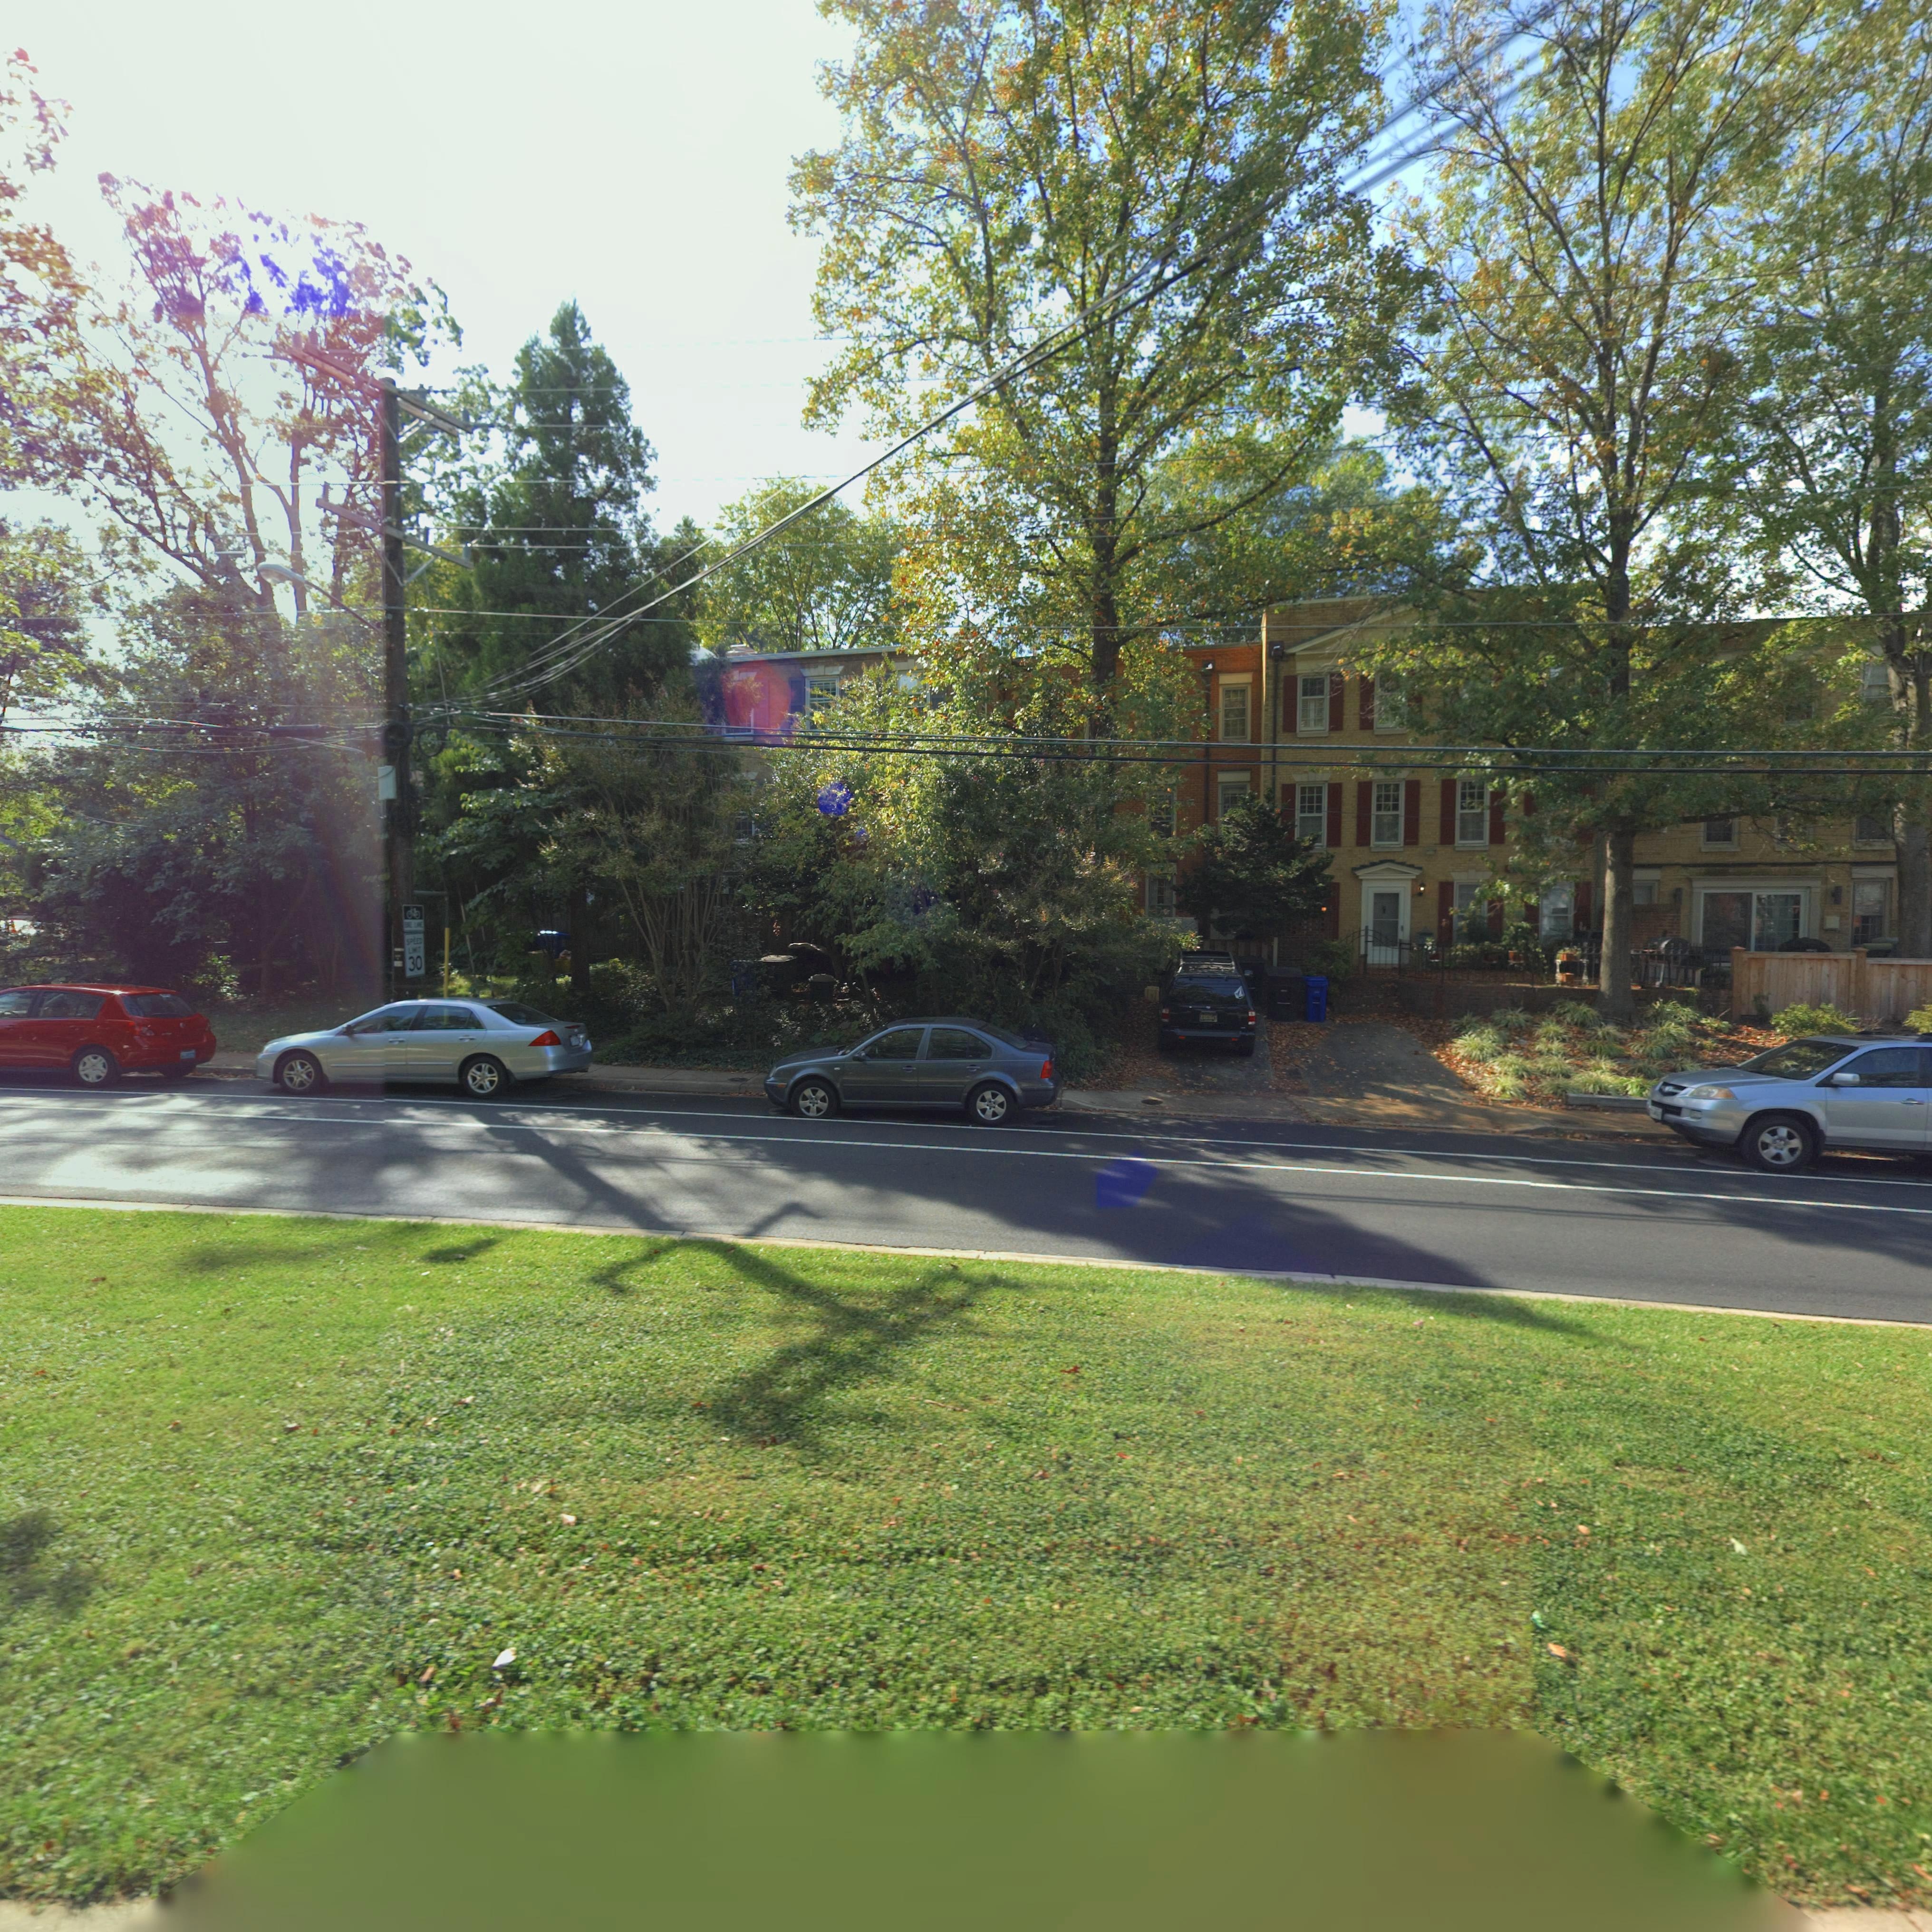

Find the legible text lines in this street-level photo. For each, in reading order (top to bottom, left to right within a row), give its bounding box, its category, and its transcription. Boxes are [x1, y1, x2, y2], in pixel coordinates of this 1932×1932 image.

[404, 921, 409, 928] None: B
[420, 921, 424, 928] None: E
[406, 937, 423, 946] None: SPEED
[407, 946, 422, 955] None: LIMIT
[407, 955, 422, 972] None: 30
[1200, 1014, 1215, 1020] None: E**3*4